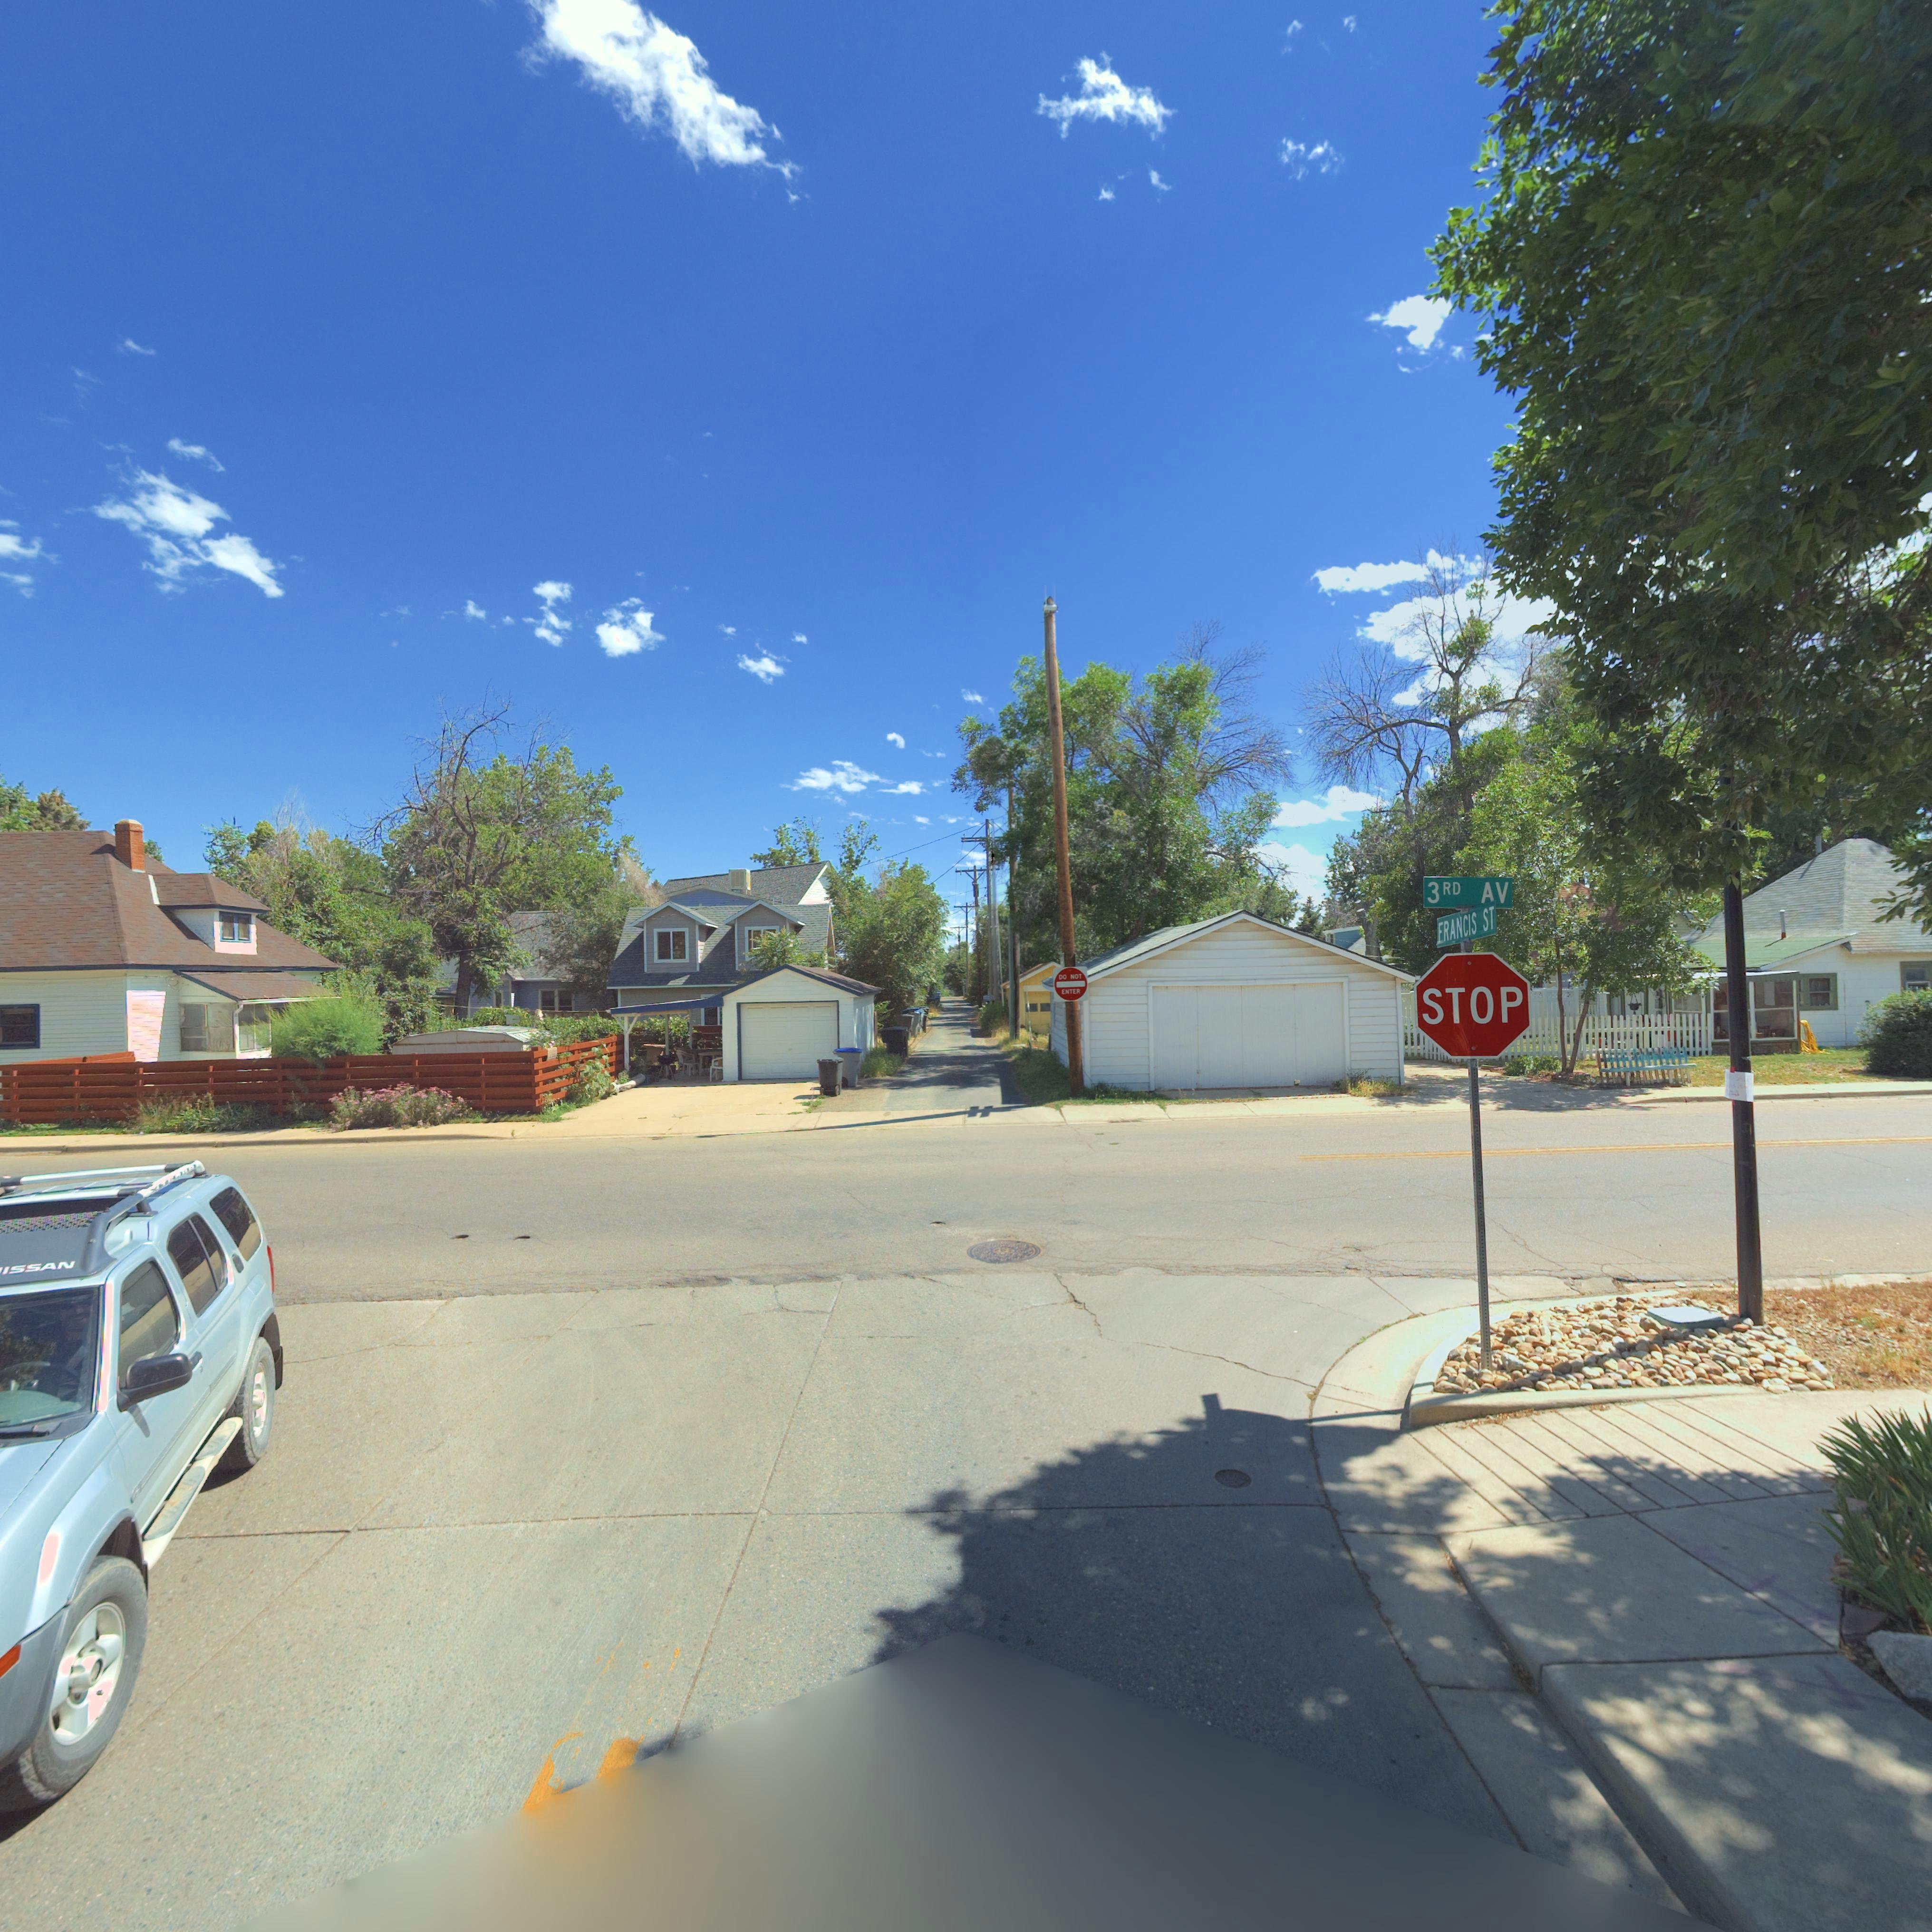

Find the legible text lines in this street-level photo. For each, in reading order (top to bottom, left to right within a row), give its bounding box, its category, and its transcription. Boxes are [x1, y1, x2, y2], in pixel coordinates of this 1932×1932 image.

[1426, 880, 1509, 904] StreetName: 3RD AV
[1437, 906, 1495, 943] StreetName: FRANCIS ST